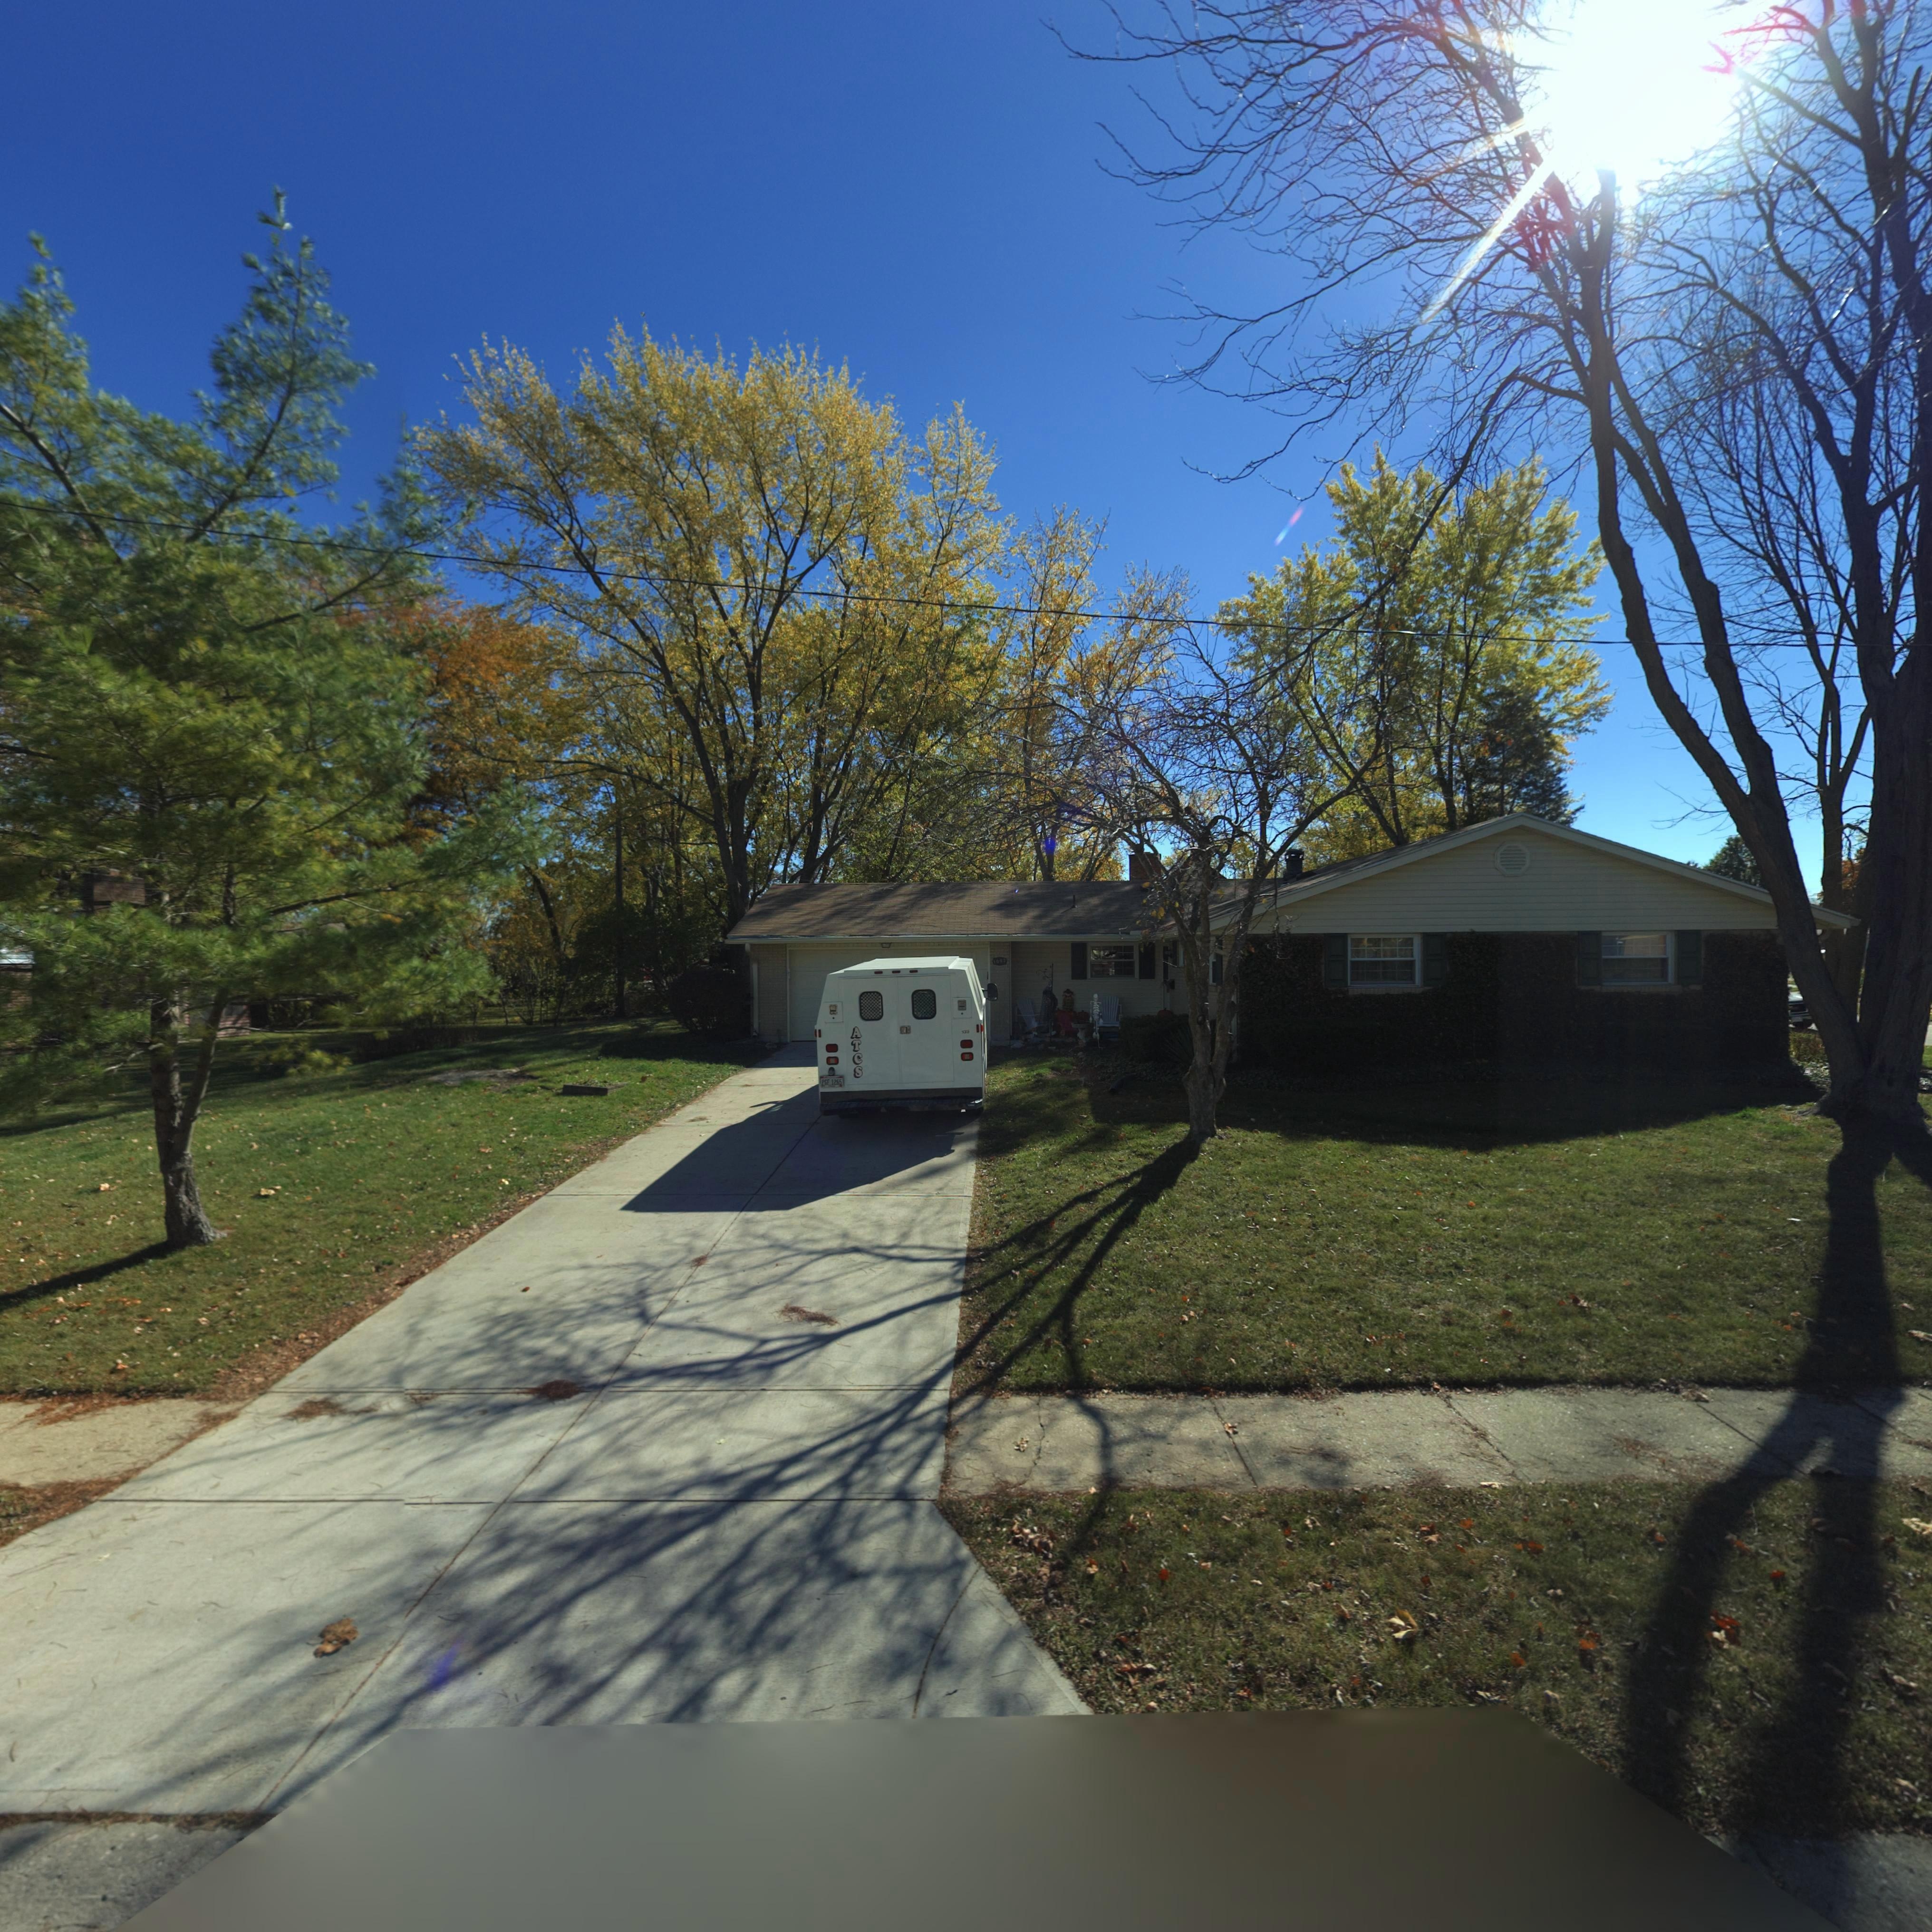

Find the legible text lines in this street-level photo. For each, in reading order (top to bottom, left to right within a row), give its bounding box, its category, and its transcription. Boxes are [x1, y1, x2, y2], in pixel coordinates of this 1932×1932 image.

[993, 957, 1007, 965] StreetNumber: 1002